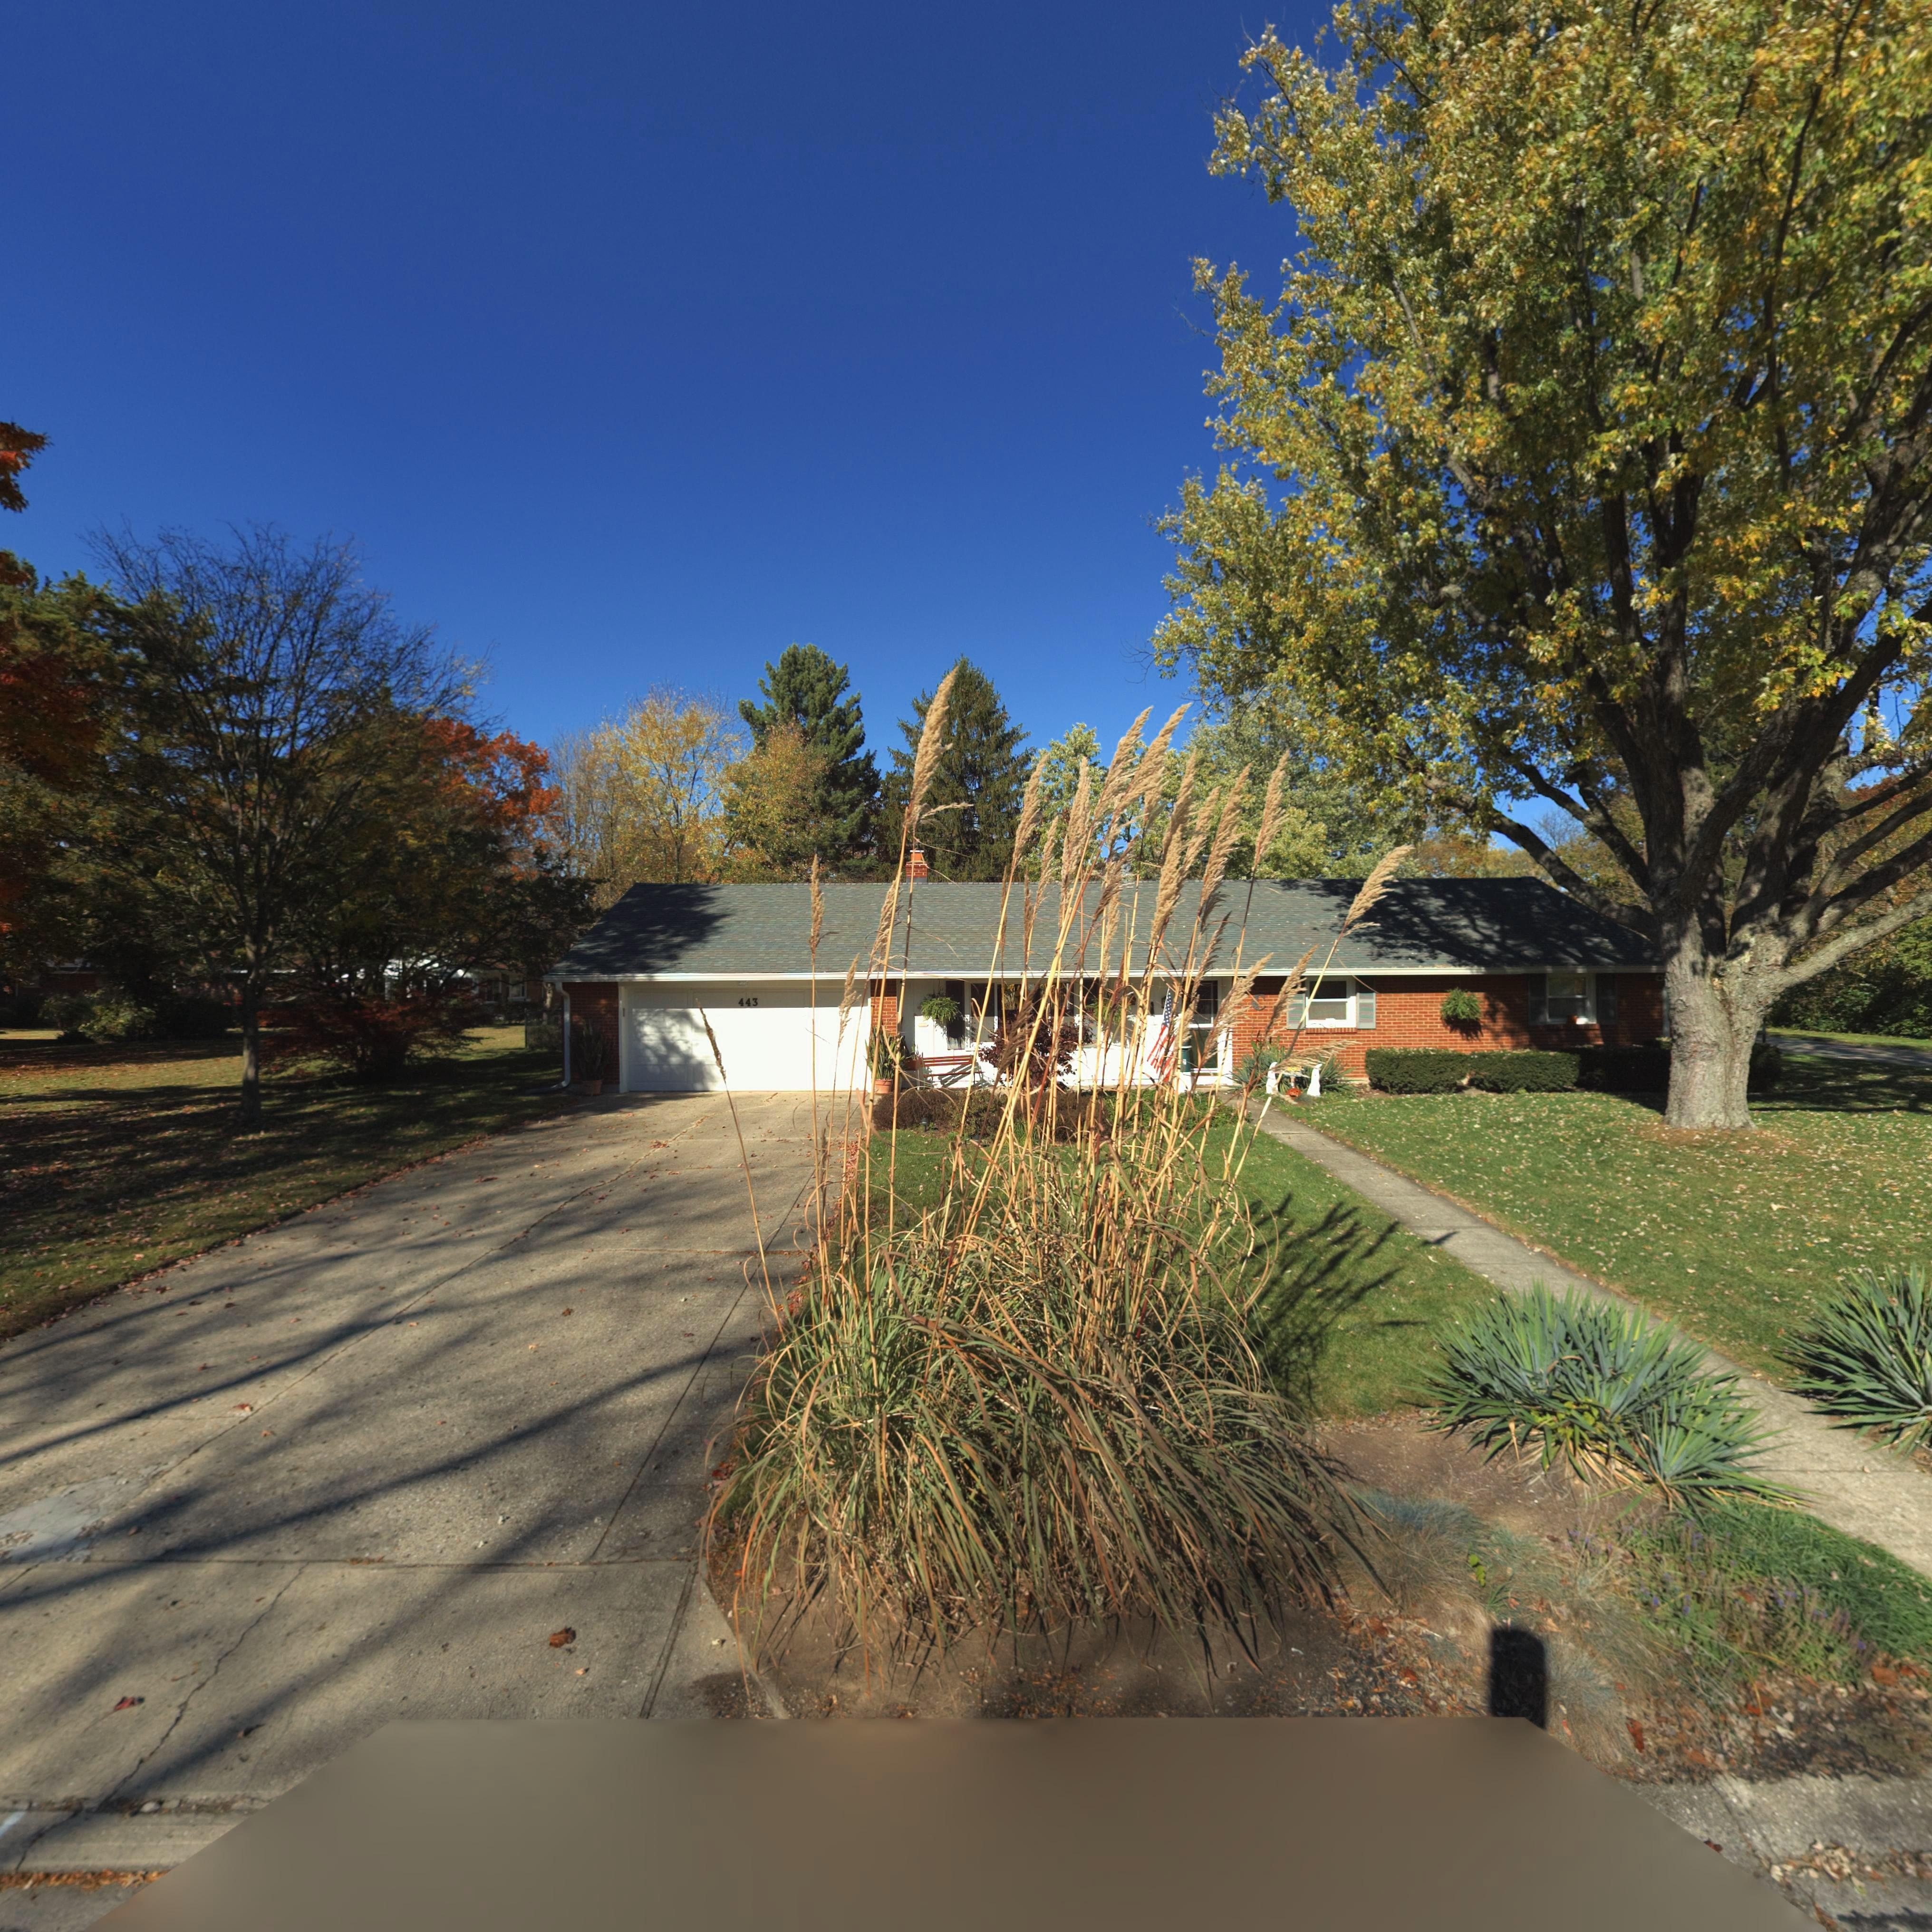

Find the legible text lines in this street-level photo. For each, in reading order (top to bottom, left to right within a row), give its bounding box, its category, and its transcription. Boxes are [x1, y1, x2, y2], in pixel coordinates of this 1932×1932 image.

[737, 997, 758, 1007] StreetNumber: 443
[1251, 993, 1266, 1012] None: C